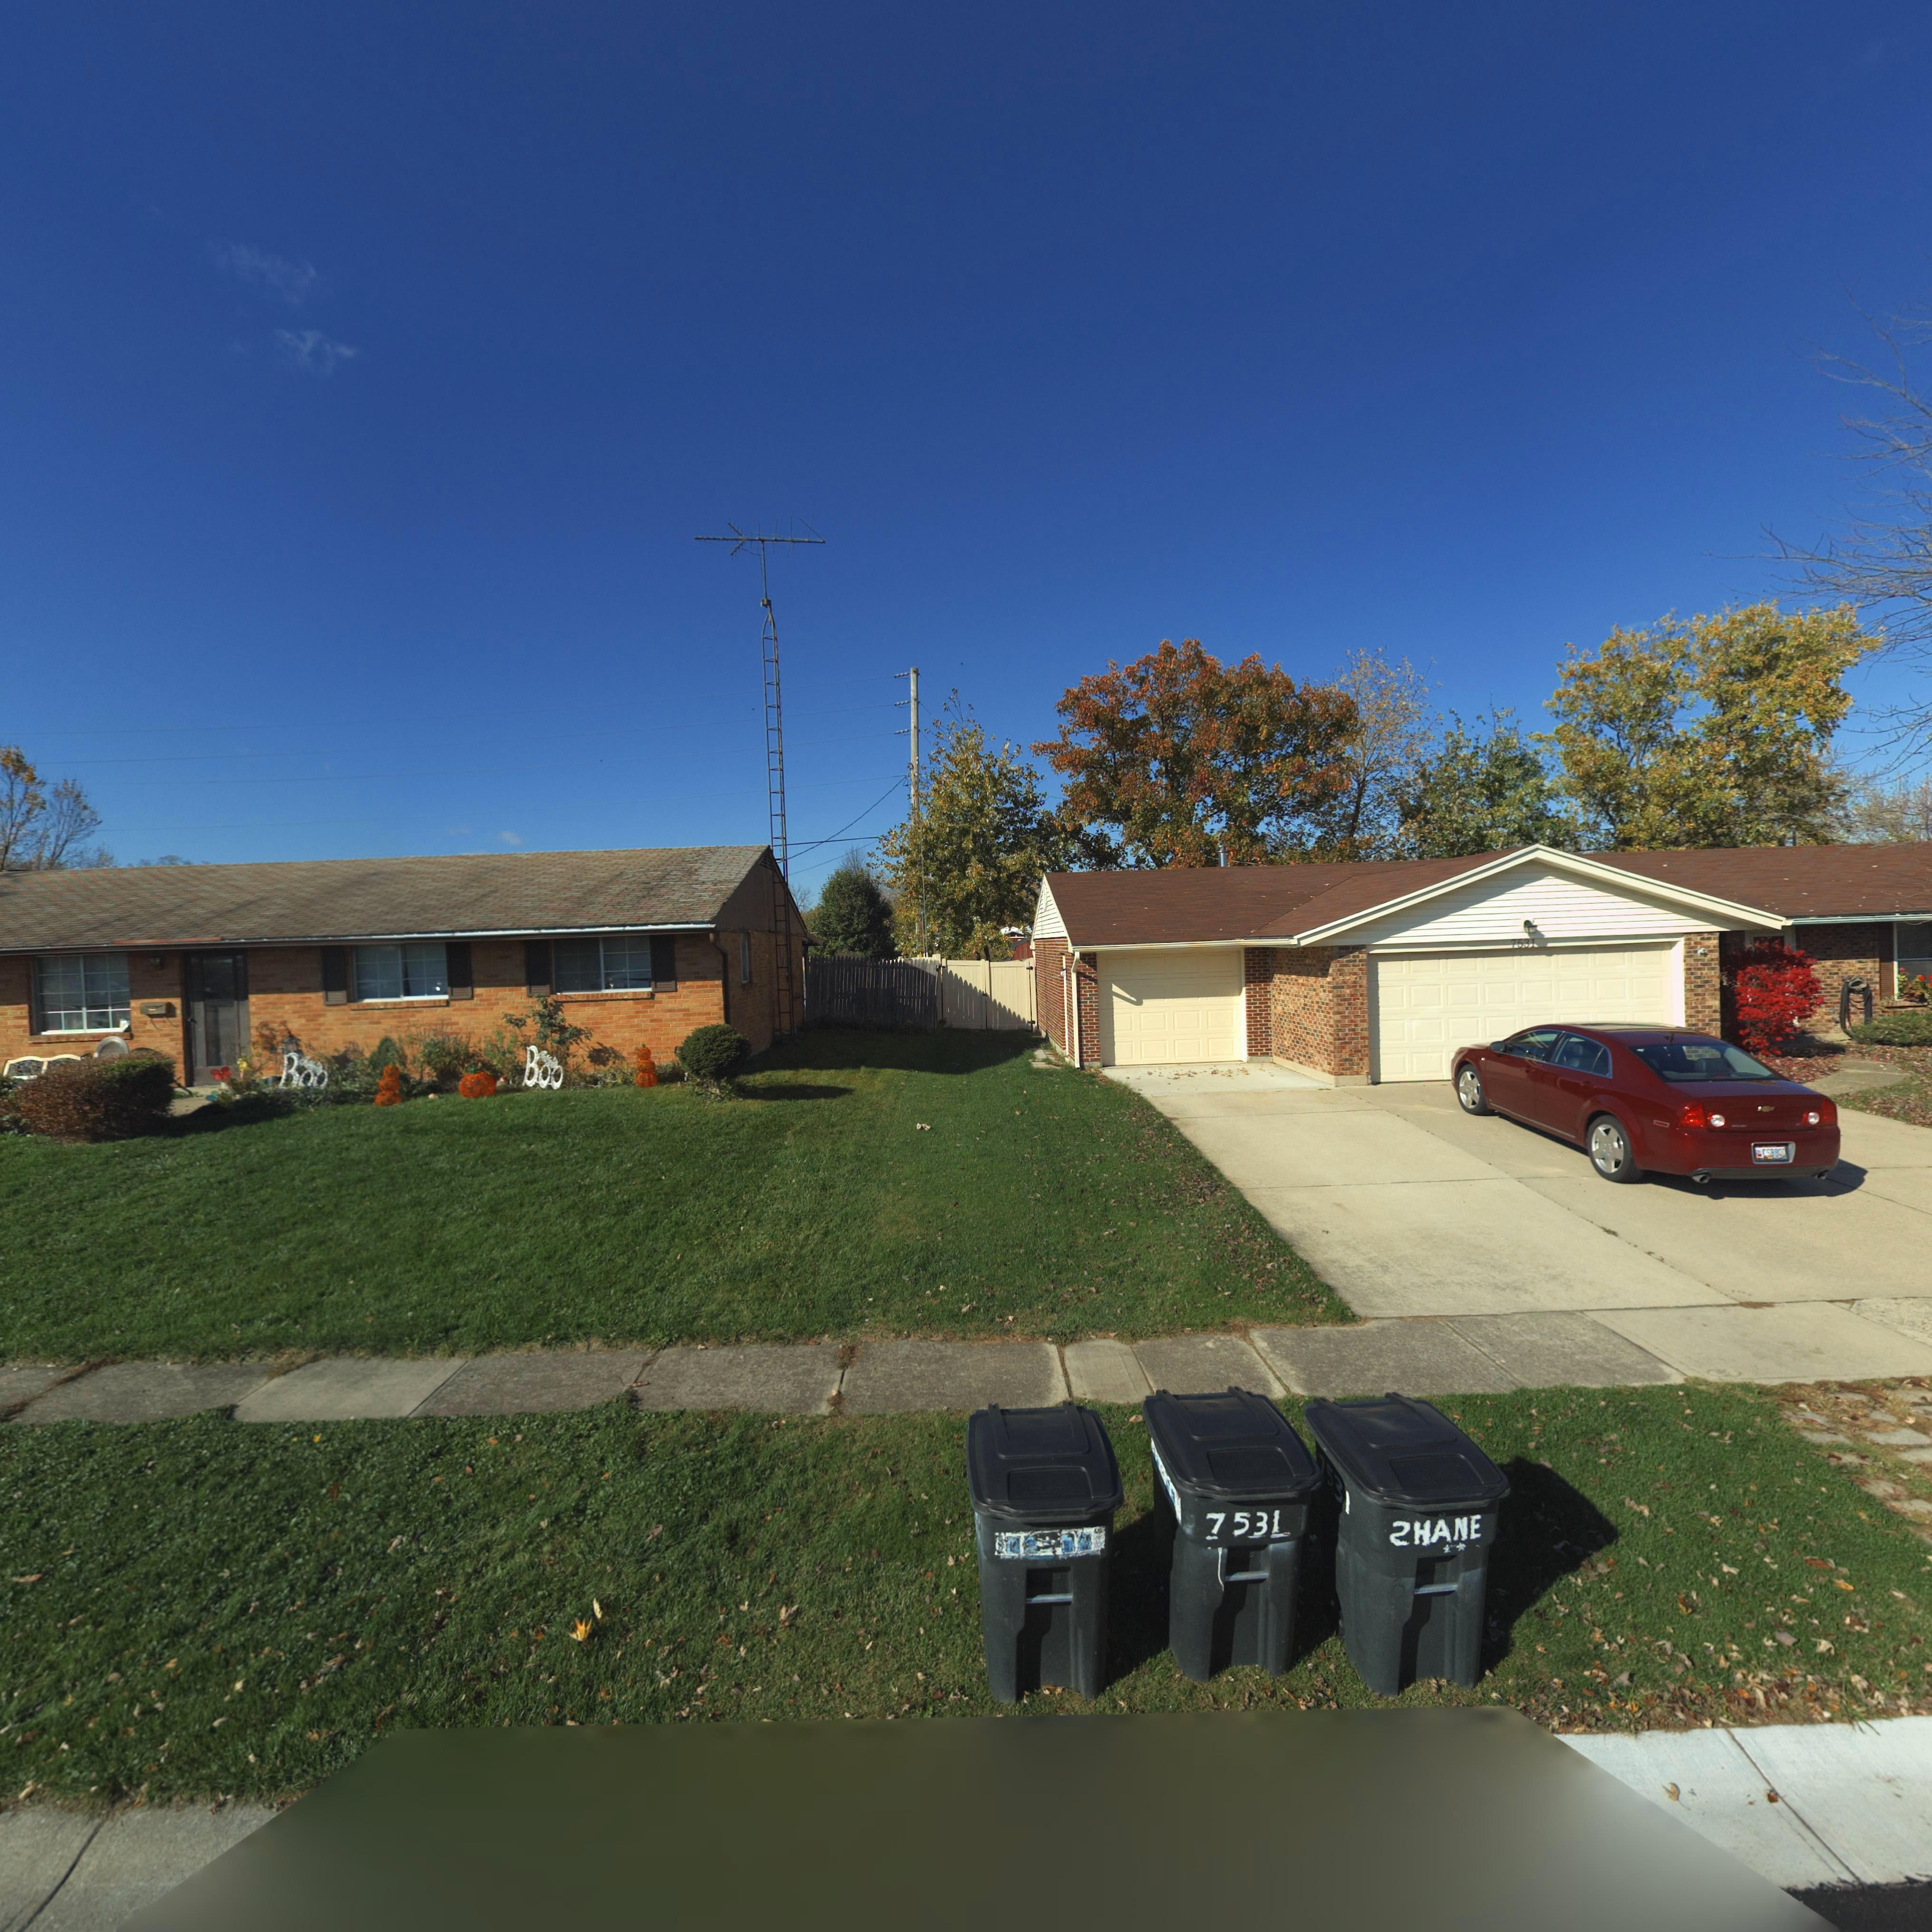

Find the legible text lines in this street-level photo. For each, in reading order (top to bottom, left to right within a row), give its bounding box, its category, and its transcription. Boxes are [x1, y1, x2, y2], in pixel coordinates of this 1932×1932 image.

[1510, 937, 1536, 949] StreetNumber: 7531
[1205, 1508, 1283, 1537] StreetNumber: 7531